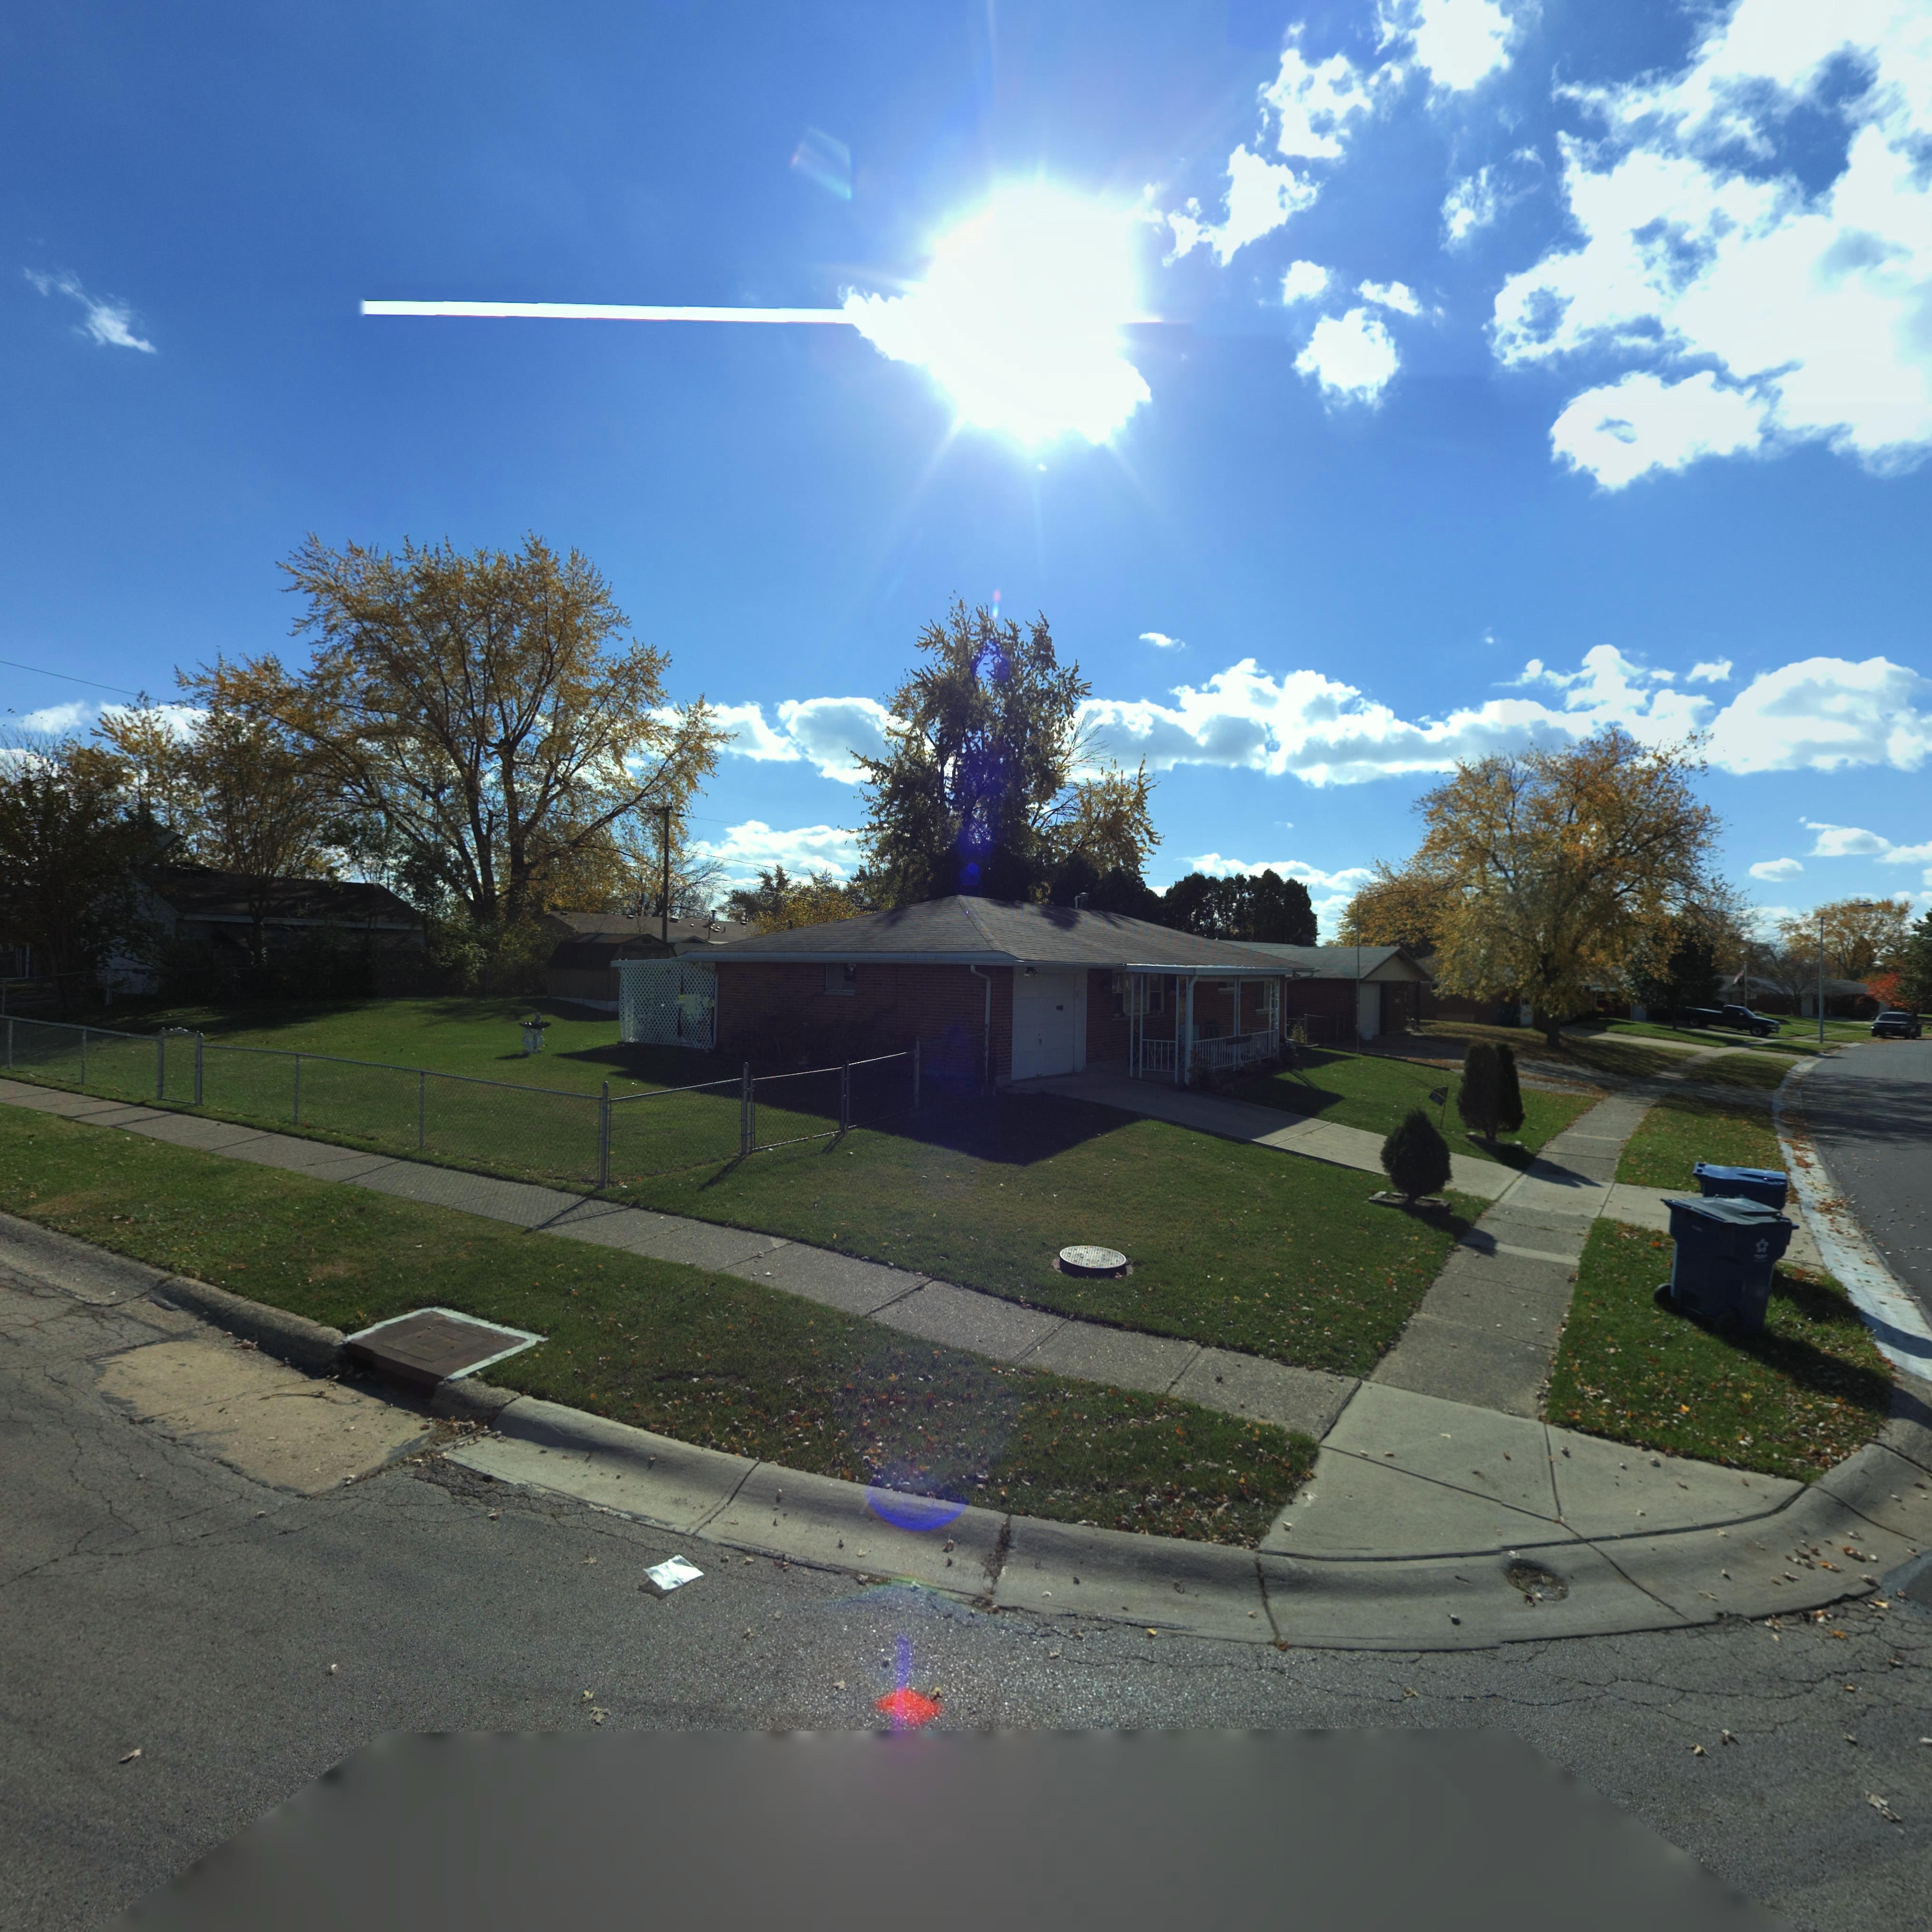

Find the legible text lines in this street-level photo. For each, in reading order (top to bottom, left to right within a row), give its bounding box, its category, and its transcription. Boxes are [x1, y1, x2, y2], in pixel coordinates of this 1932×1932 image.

[1429, 1092, 1445, 1106] StreetNumber: 7**2